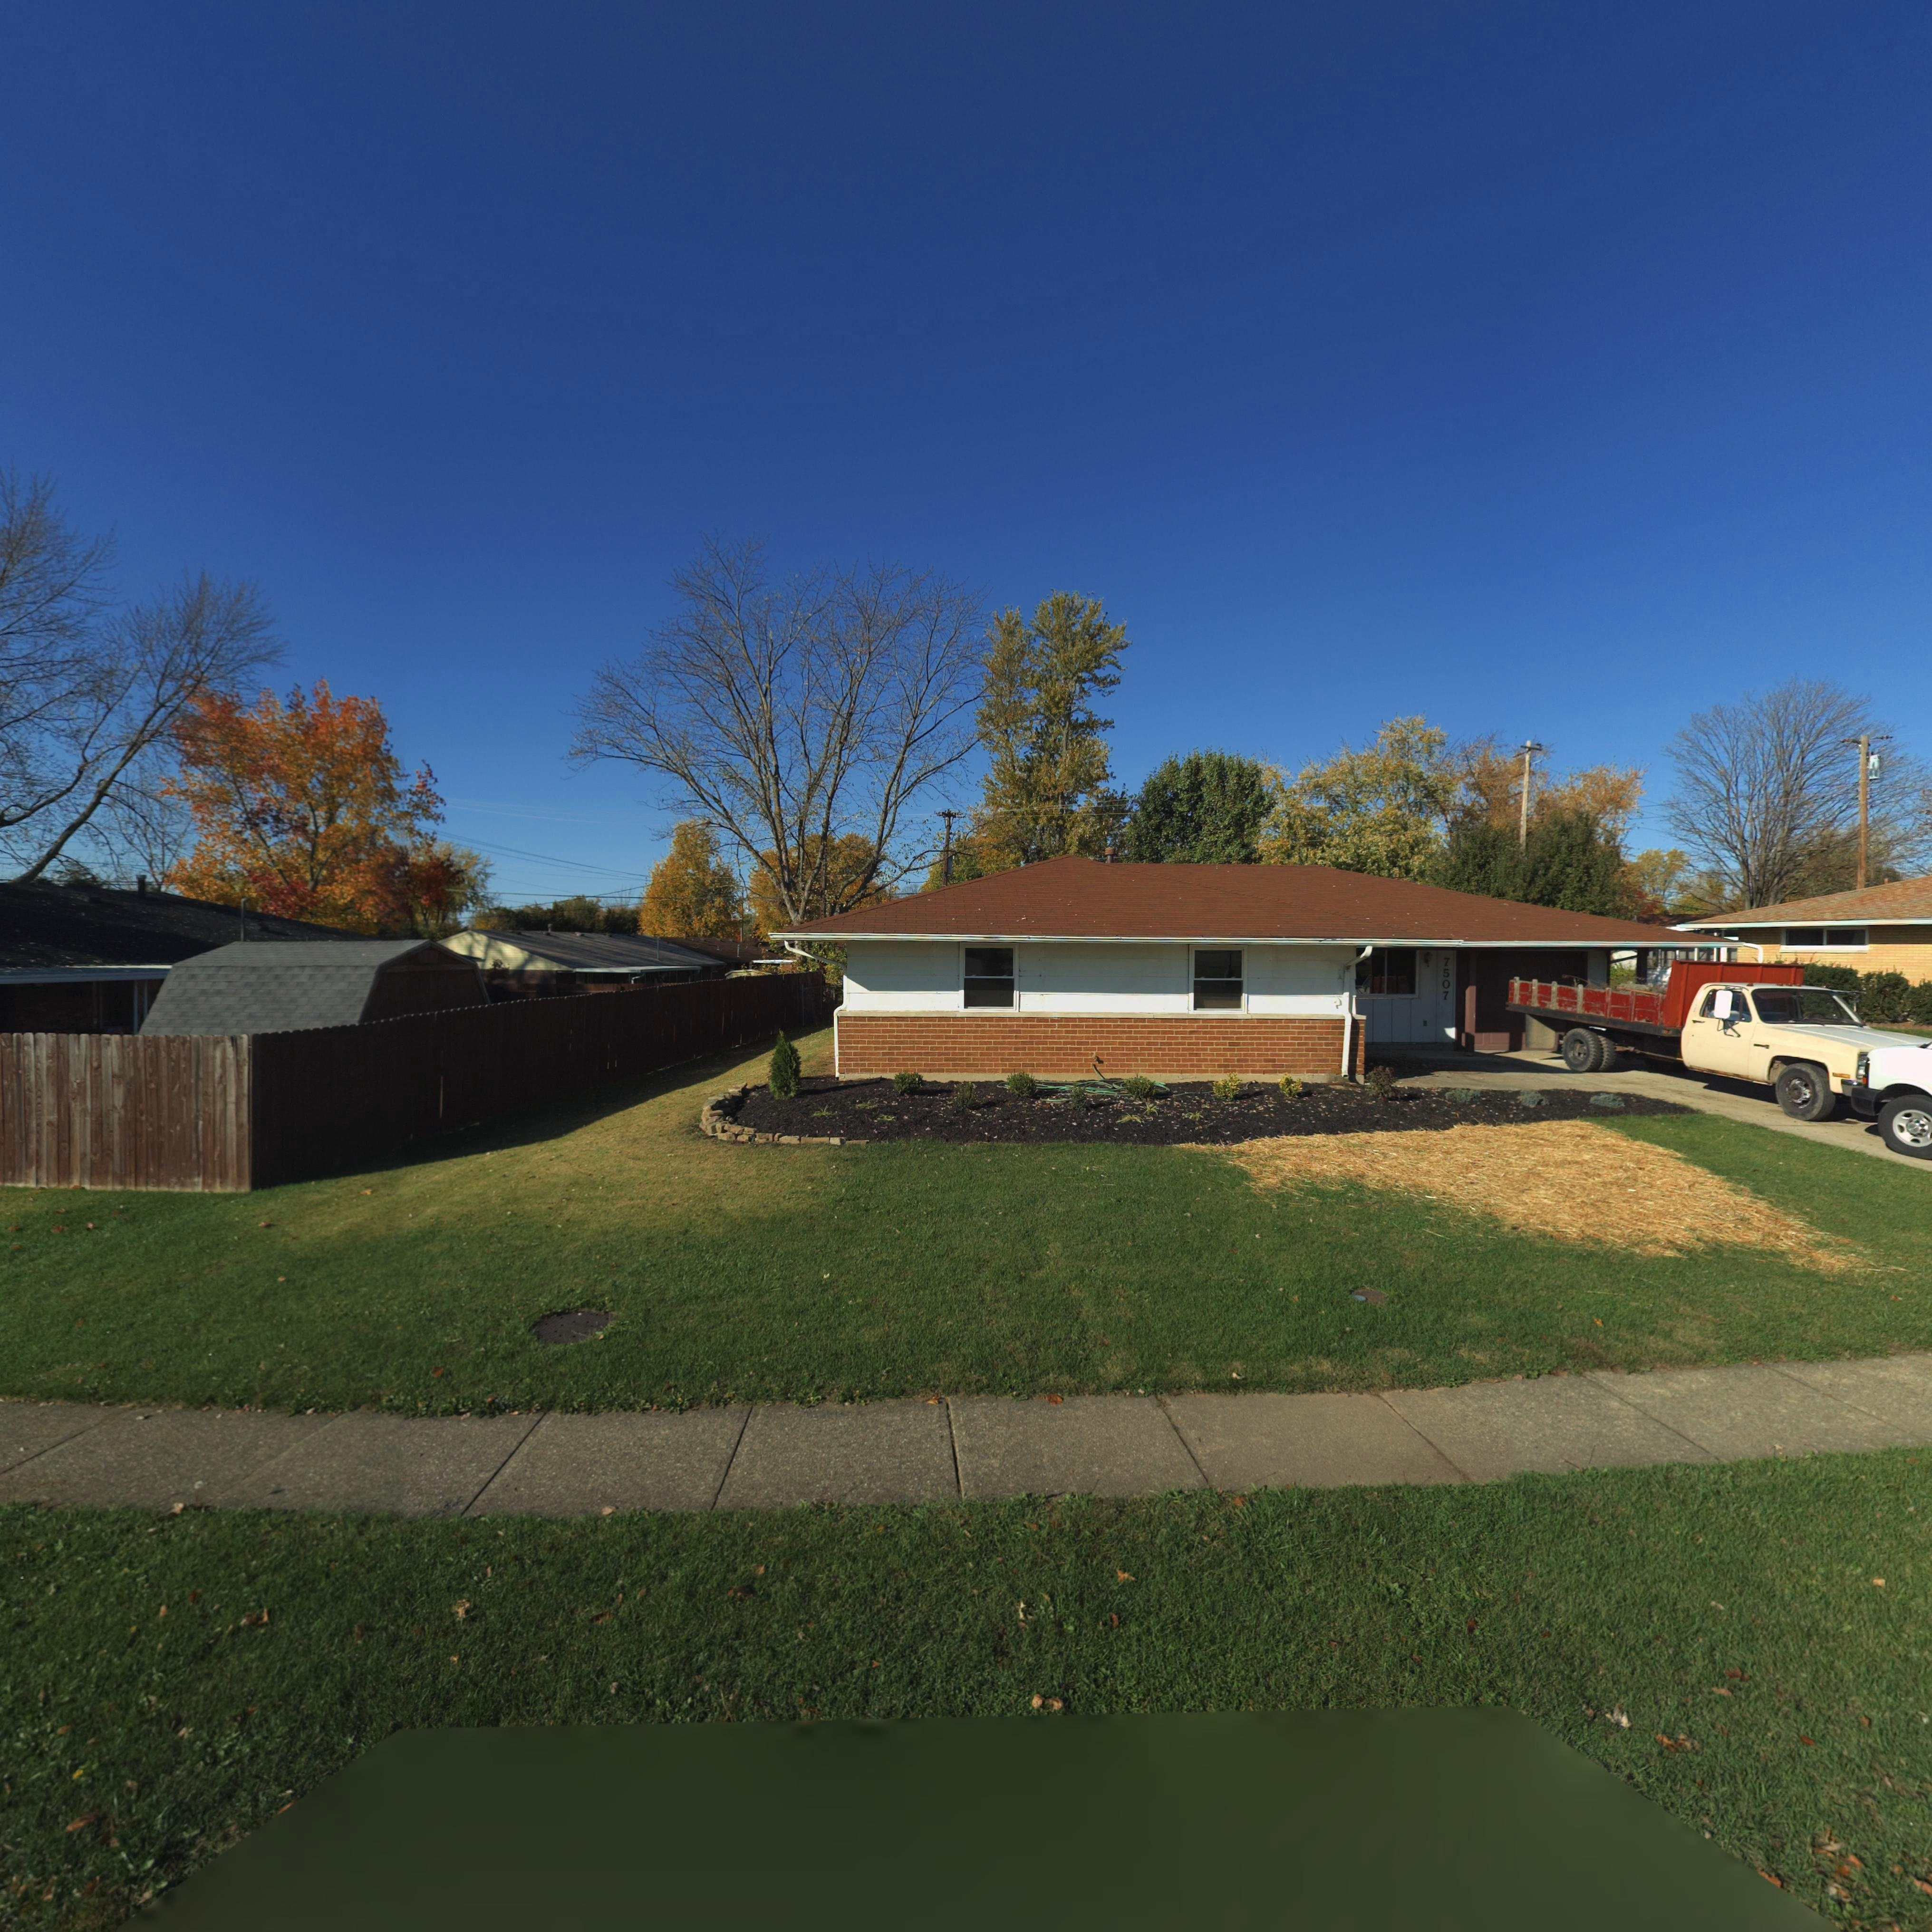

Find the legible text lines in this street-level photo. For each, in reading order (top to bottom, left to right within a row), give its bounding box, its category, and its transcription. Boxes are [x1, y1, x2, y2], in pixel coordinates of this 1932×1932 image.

[1442, 957, 1450, 1001] StreetNumber: 7507